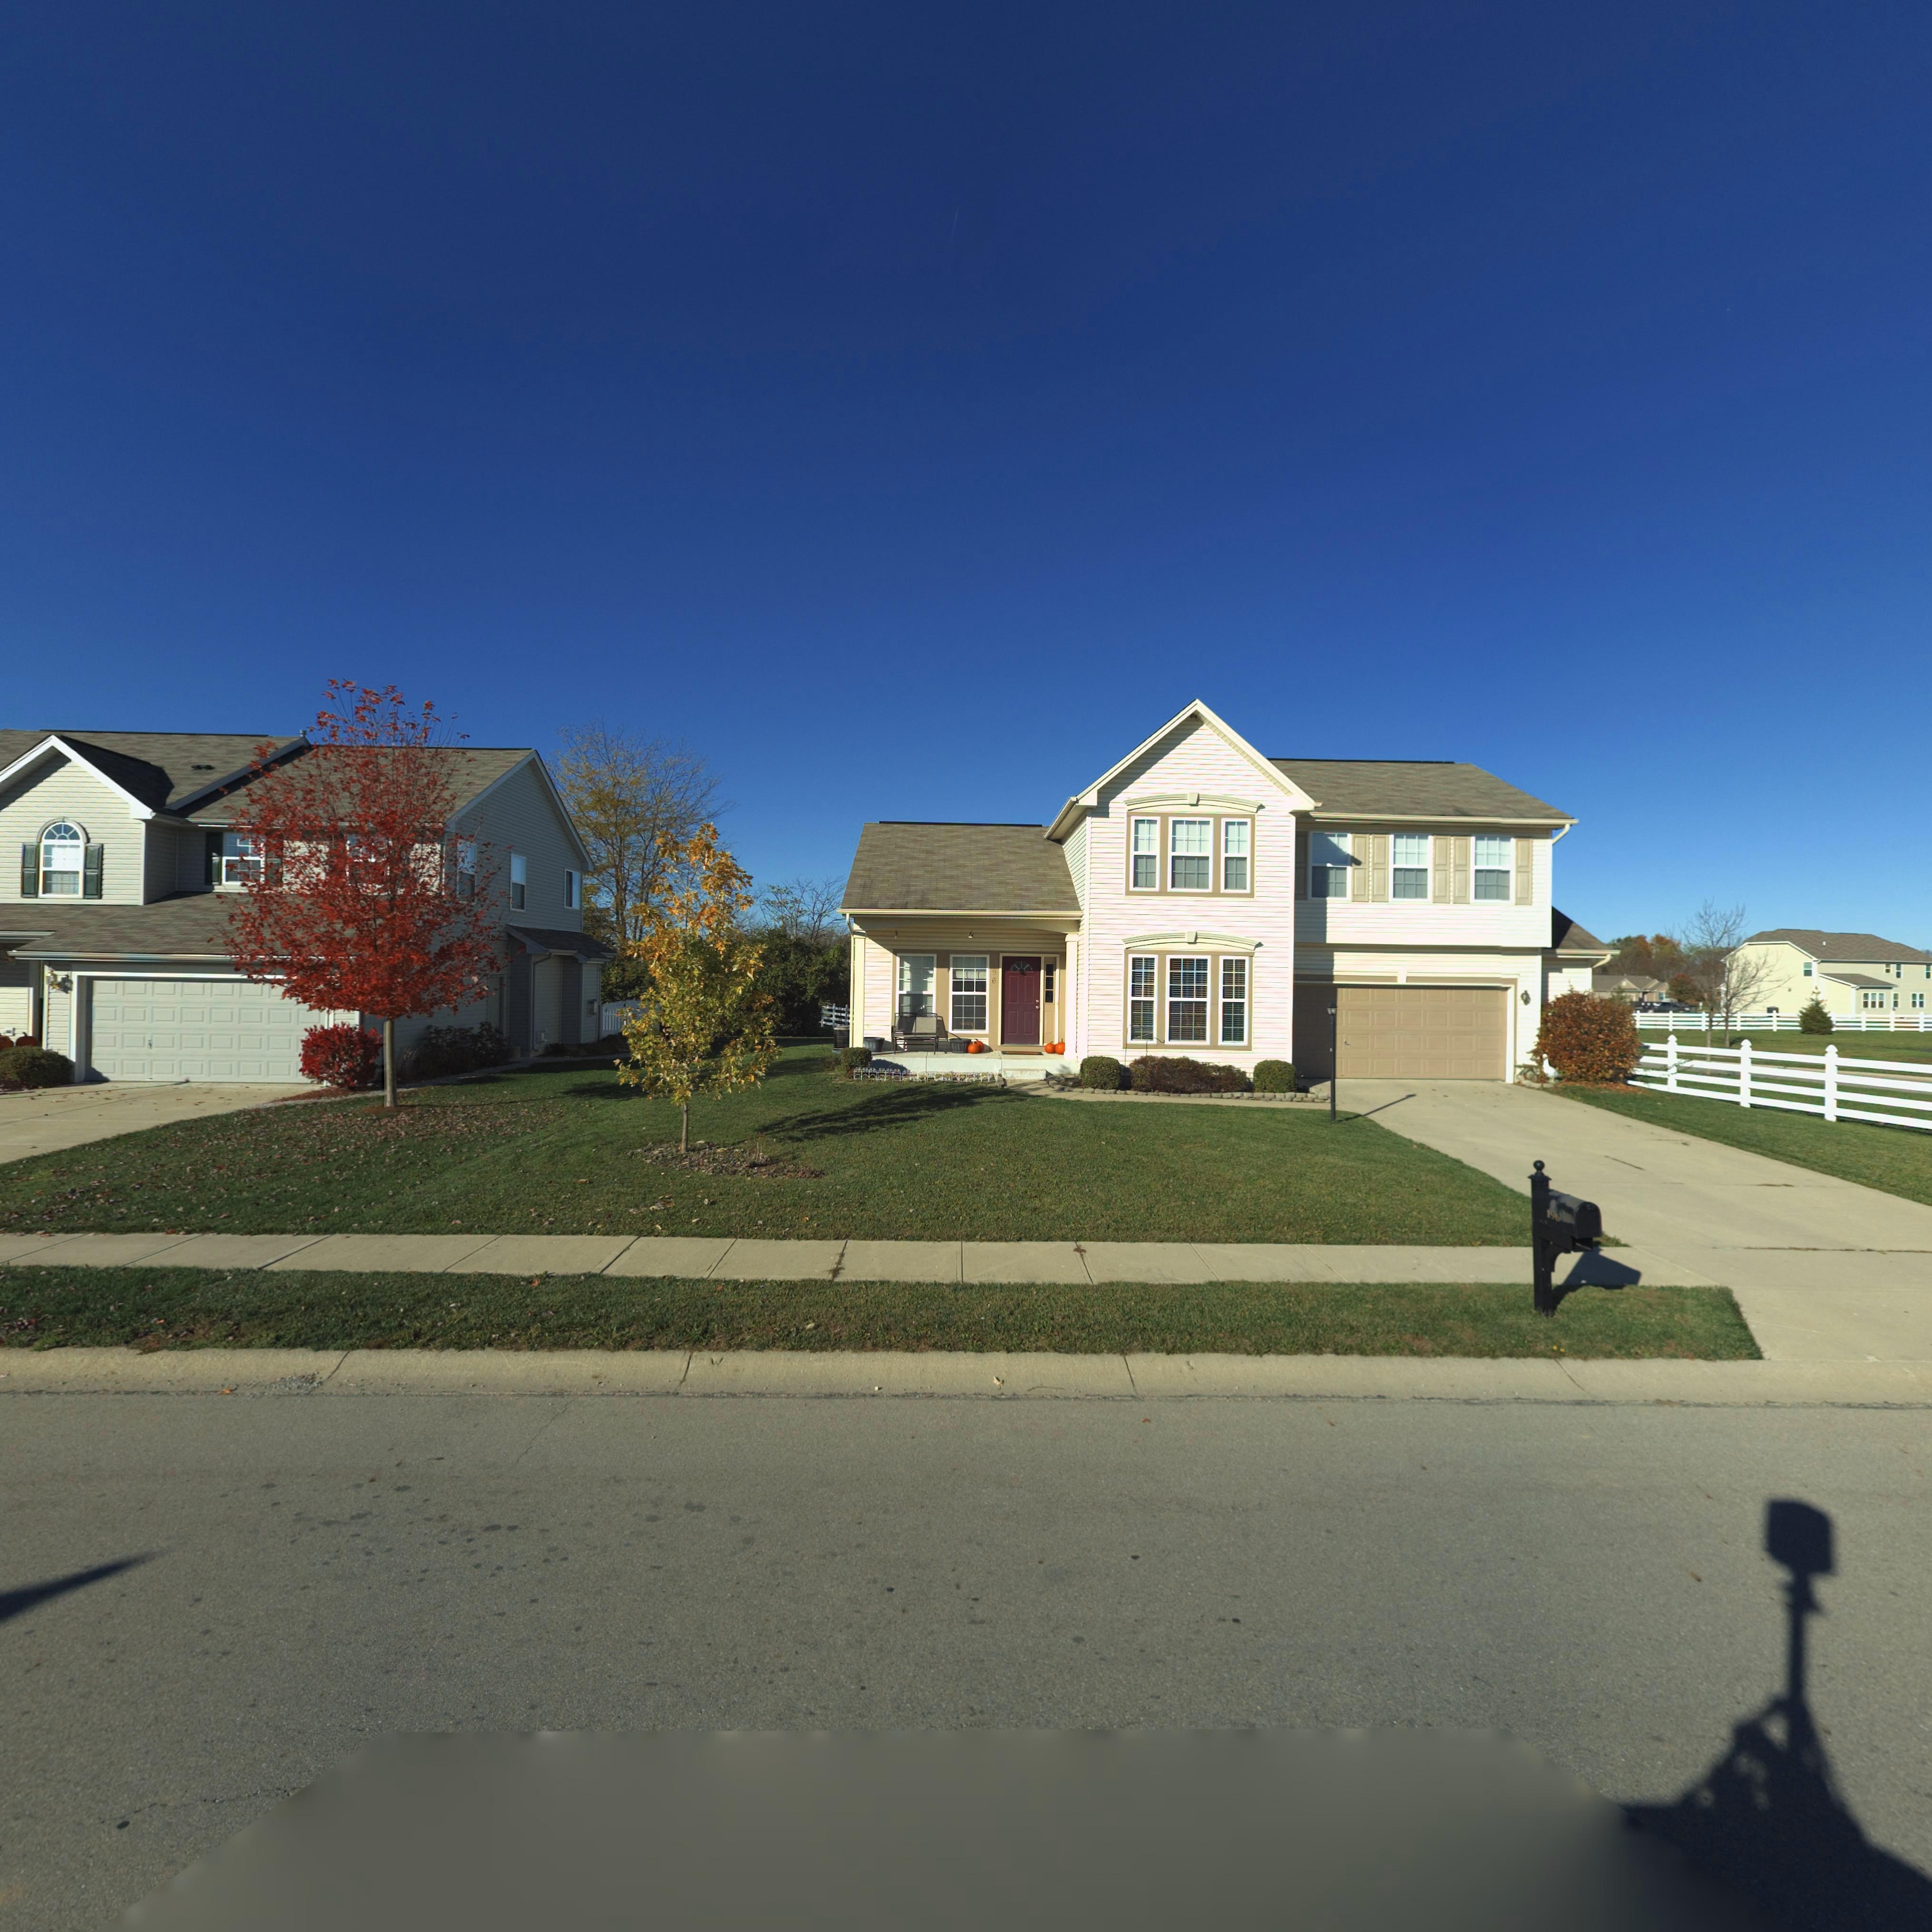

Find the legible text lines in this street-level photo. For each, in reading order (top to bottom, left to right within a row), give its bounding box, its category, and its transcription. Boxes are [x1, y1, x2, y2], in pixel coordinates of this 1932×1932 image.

[990, 957, 997, 984] StreetNumber: 196
[1546, 1208, 1561, 1223] StreetNumber: 196